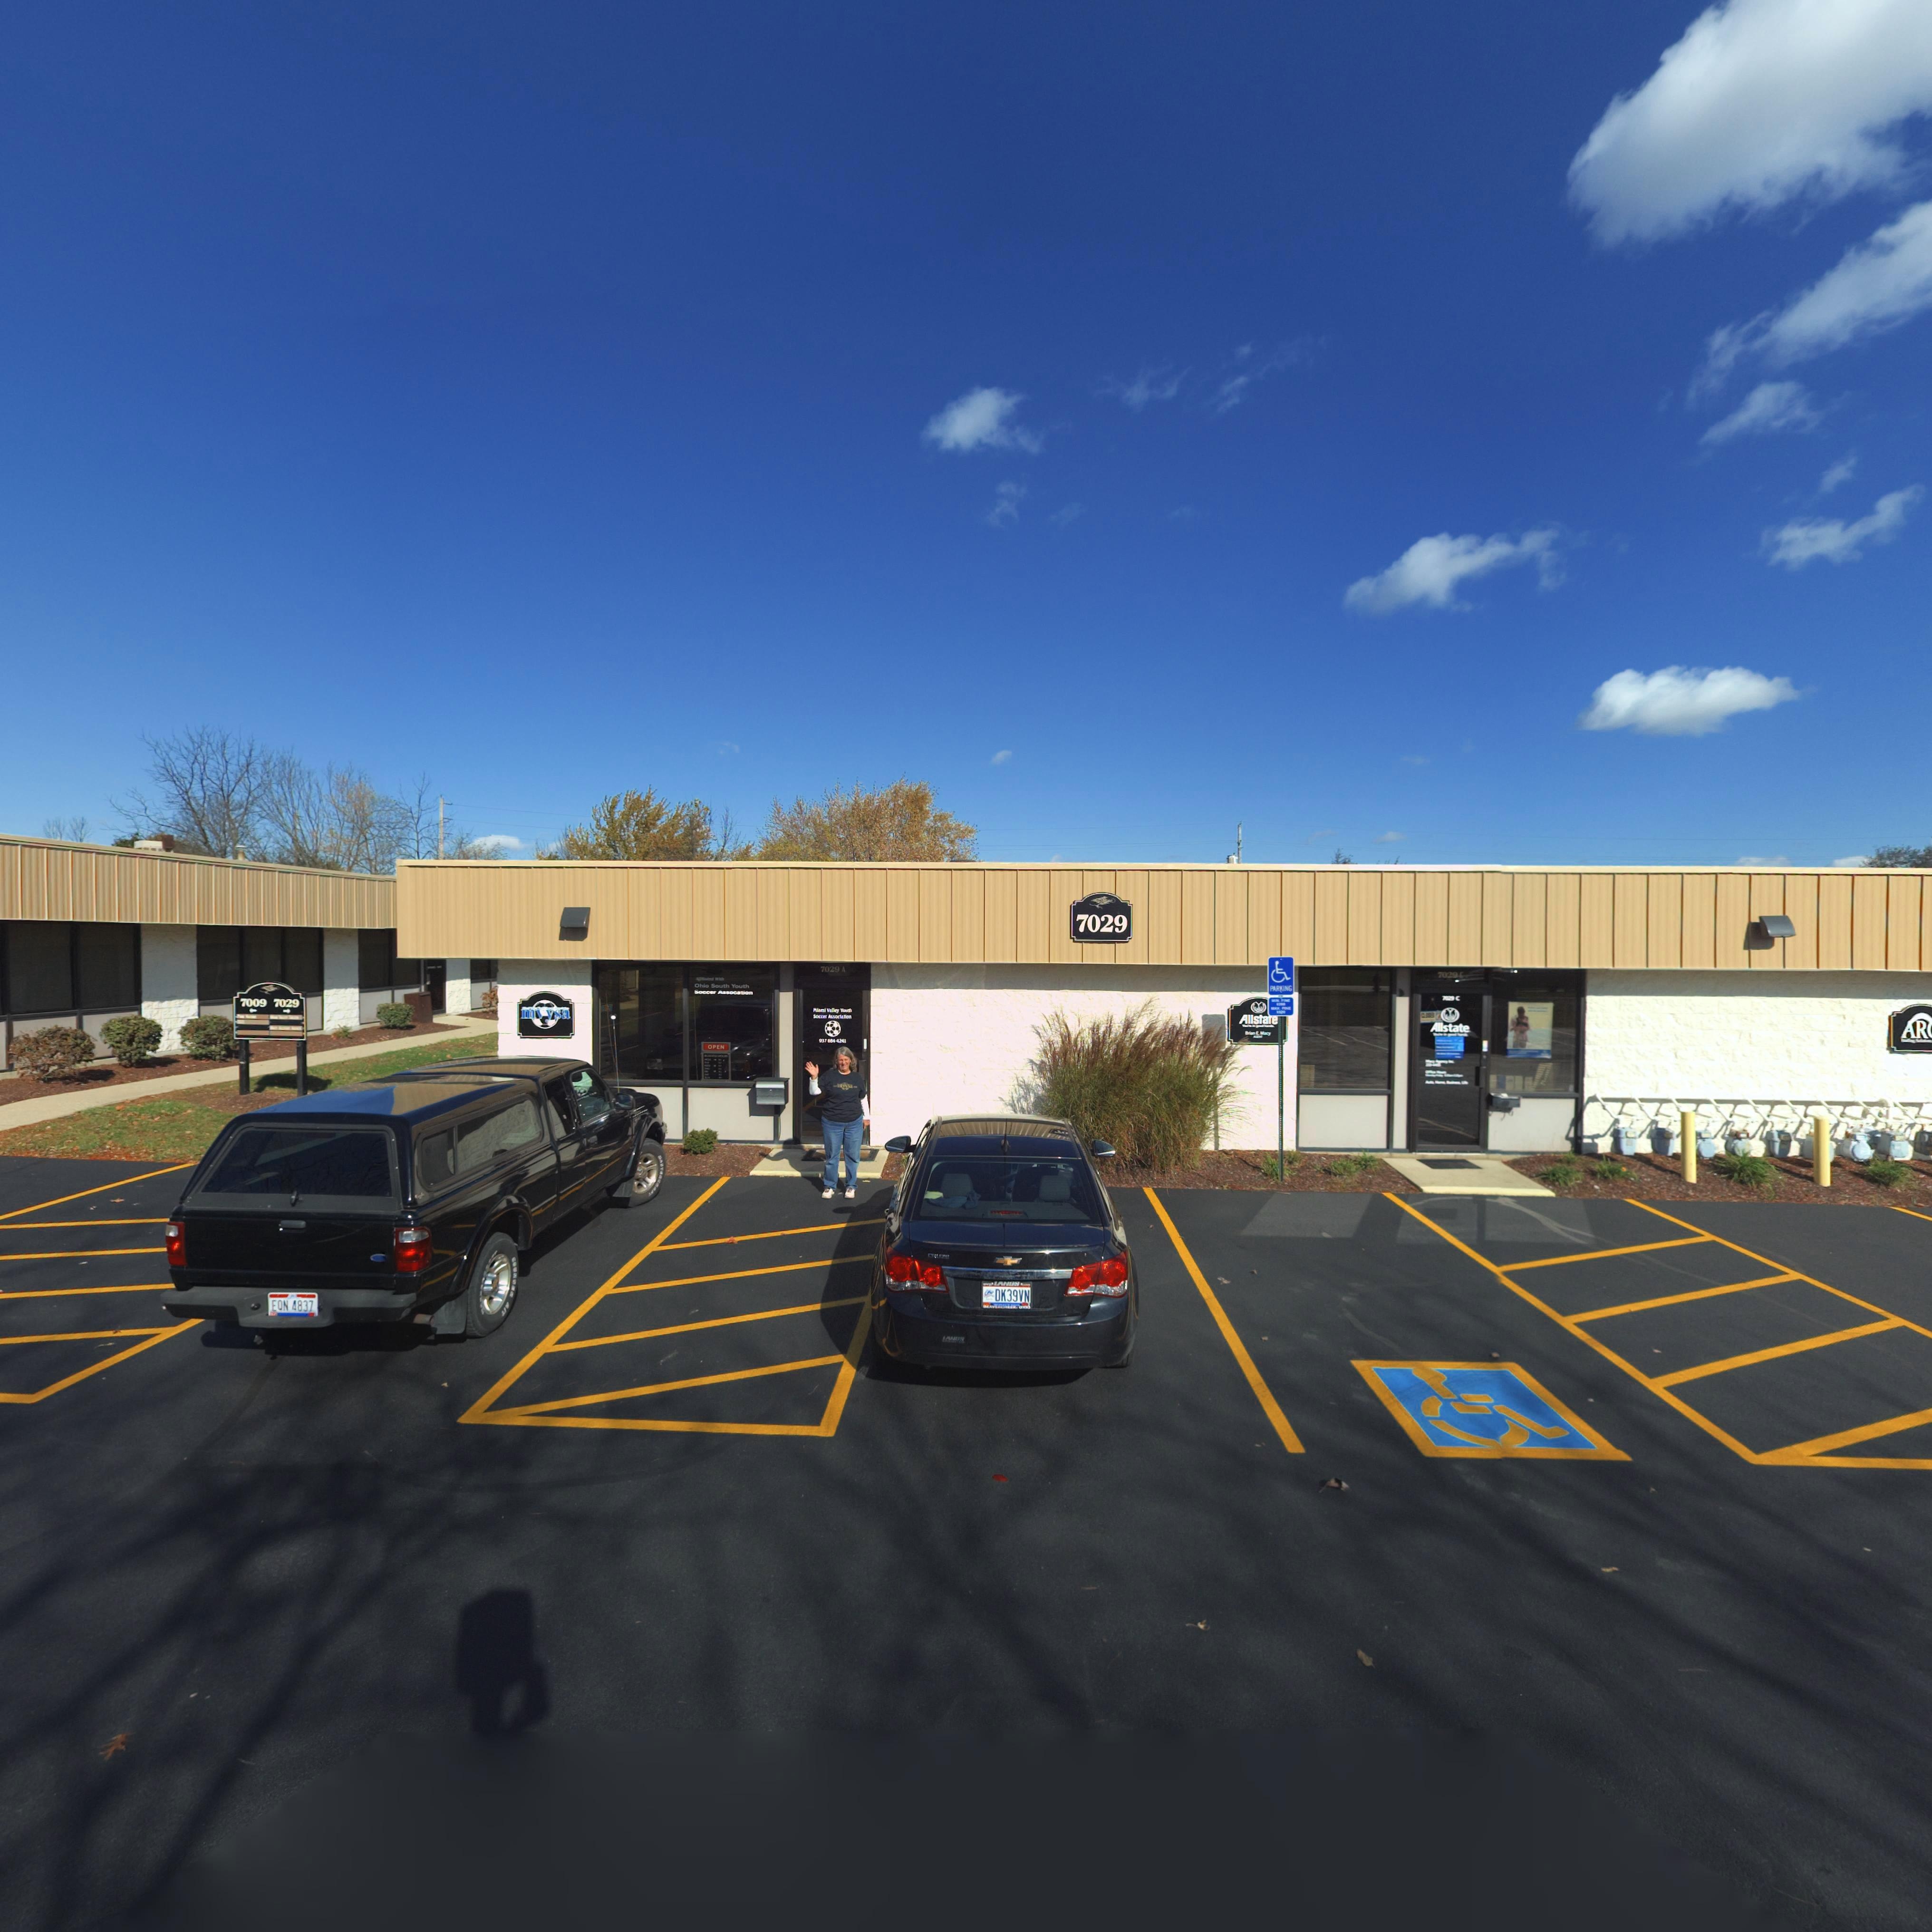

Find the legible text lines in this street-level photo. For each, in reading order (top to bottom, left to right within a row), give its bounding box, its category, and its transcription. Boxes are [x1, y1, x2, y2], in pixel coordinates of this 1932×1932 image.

[1075, 912, 1130, 935] StreetNumber: 7029
[819, 965, 847, 974] StreetNumber: 7029 A
[1436, 970, 1465, 979] StreetNumber: 7029 *
[239, 997, 269, 1009] StreetNumber: 7009
[272, 997, 301, 1009] StreetNumber: 7029
[1441, 995, 1461, 1003] StreetNumber: **** C